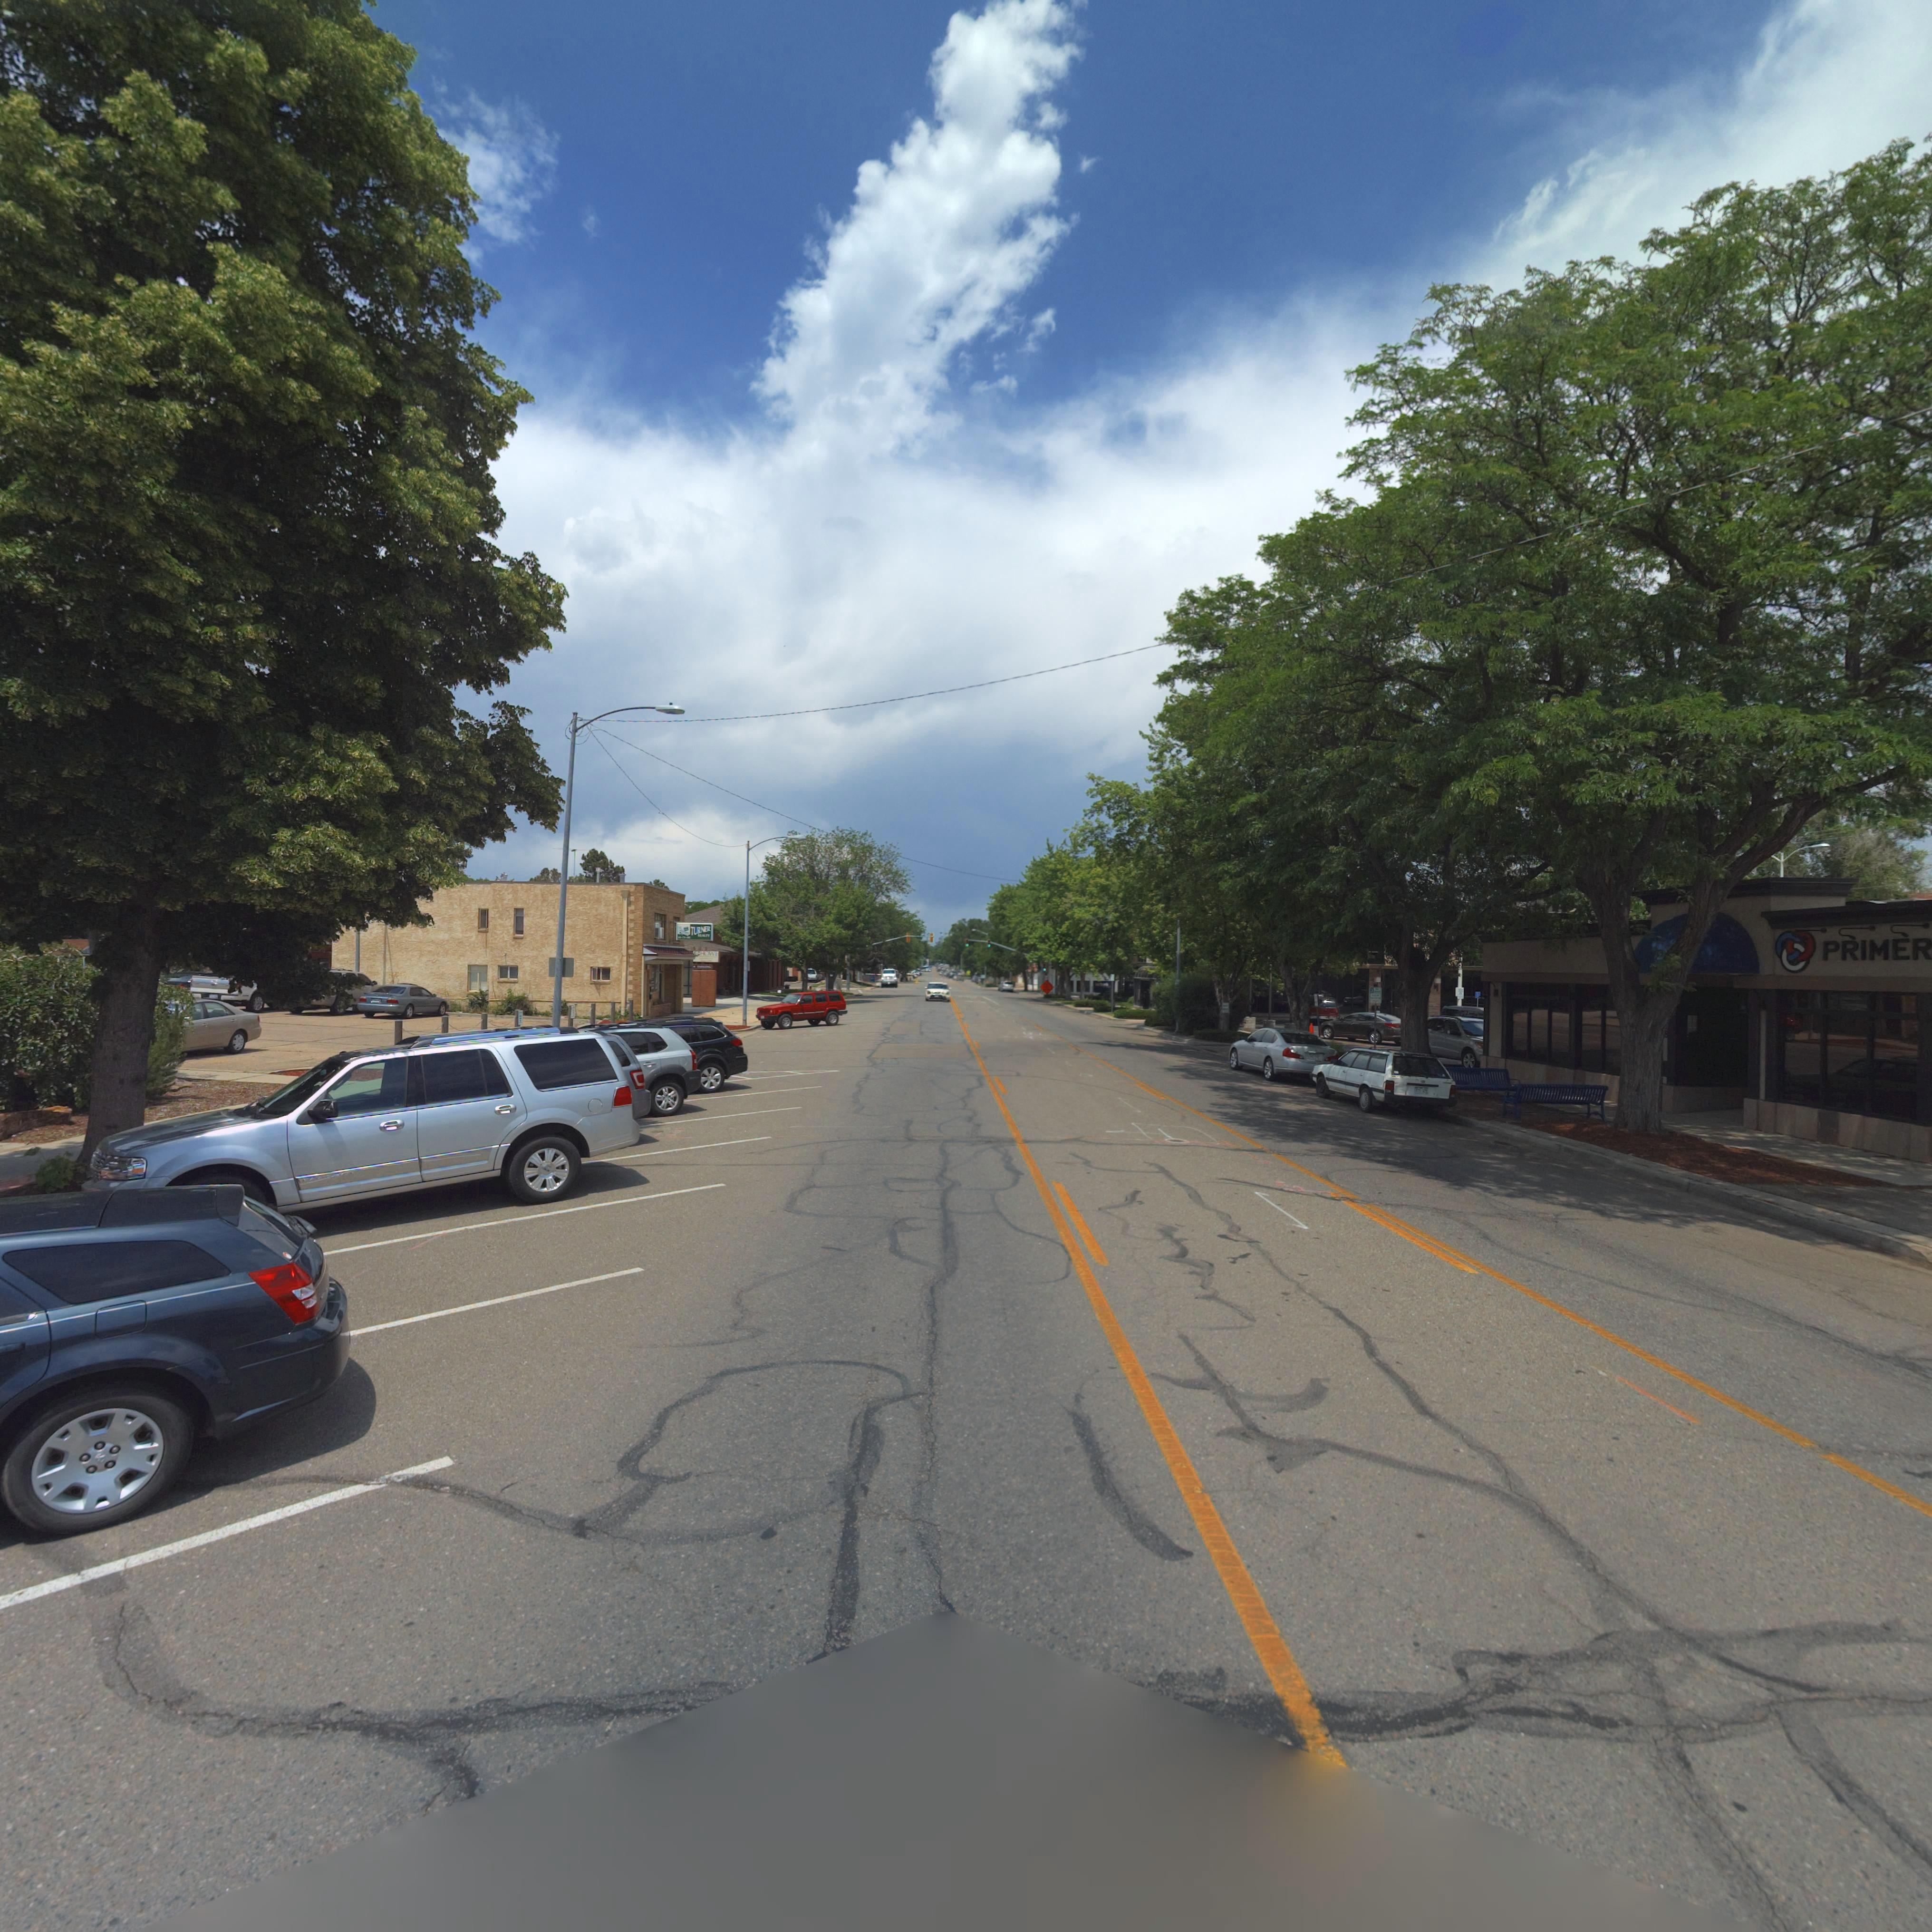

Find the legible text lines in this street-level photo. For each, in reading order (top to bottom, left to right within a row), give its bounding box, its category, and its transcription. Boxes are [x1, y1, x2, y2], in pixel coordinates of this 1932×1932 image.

[689, 926, 711, 936] BusinessName: TURNER
[700, 951, 719, 956] BusinessName: HO**
[1821, 937, 1932, 961] BusinessName: PRIMER